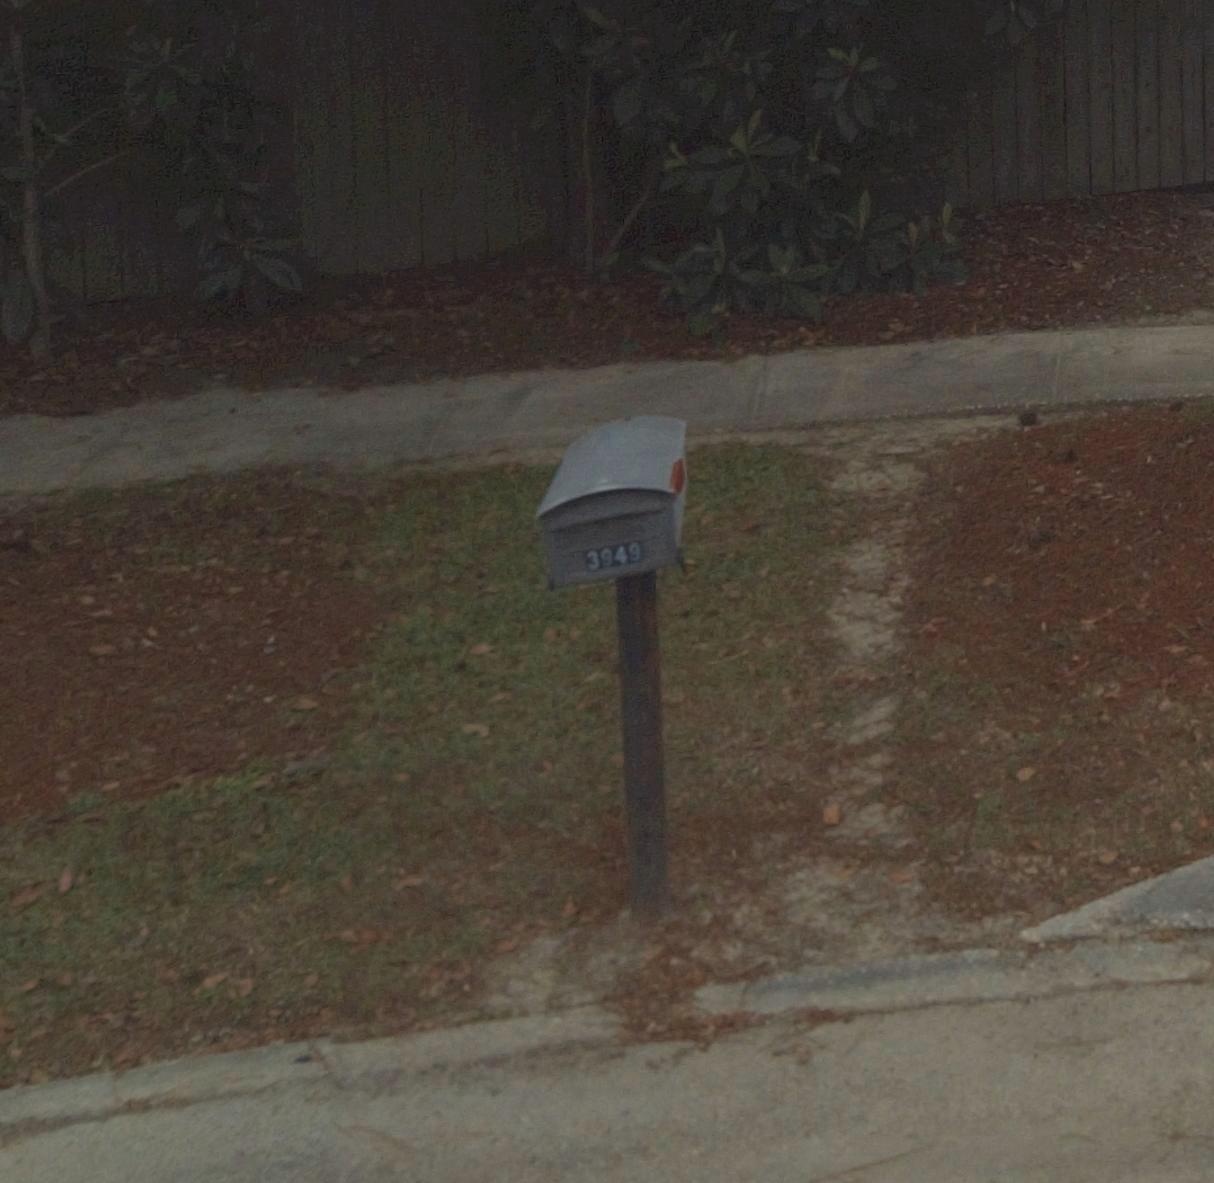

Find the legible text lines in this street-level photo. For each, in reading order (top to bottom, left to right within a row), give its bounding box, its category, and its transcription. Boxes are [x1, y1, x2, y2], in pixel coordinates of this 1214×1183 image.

[586, 539, 643, 572] StreetNumber: 3949